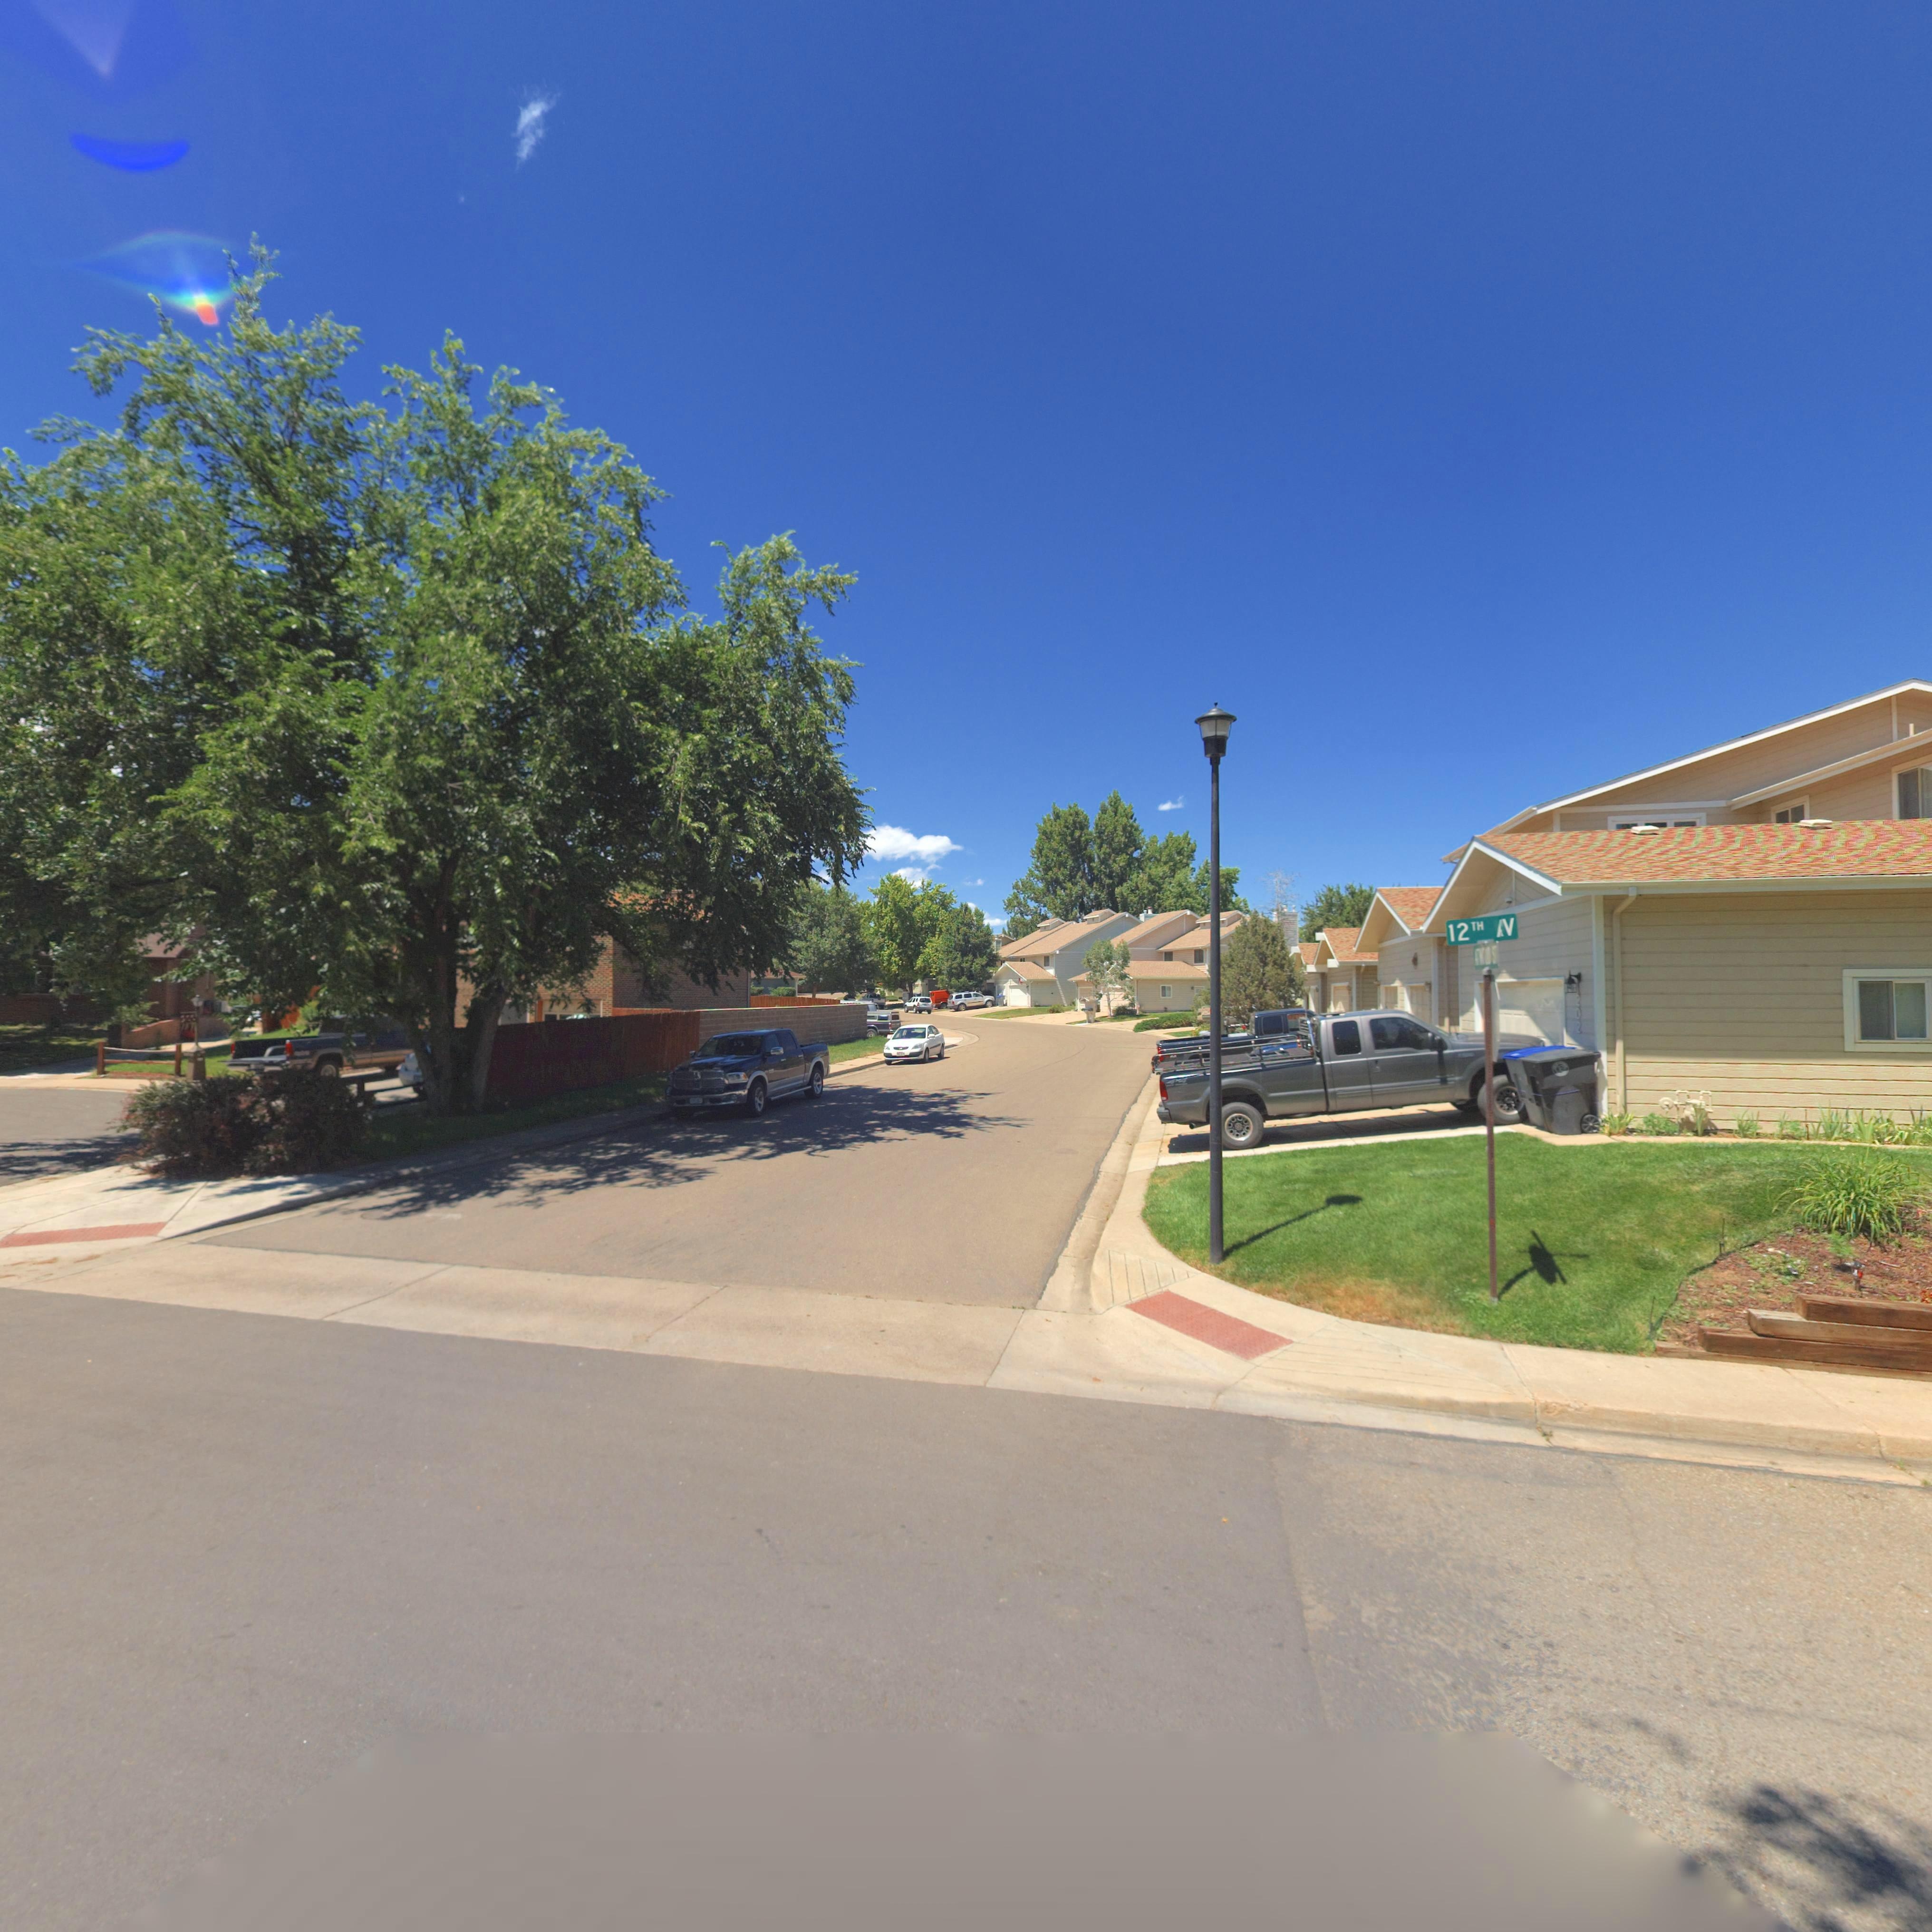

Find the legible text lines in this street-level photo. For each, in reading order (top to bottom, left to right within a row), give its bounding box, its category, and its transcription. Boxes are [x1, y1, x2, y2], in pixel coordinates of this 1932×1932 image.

[1449, 917, 1516, 941] StreetName: 12TH *V
[1473, 944, 1498, 966] StreetName: ATW*** ST
[1574, 994, 1582, 1034] StreetNumber: 202